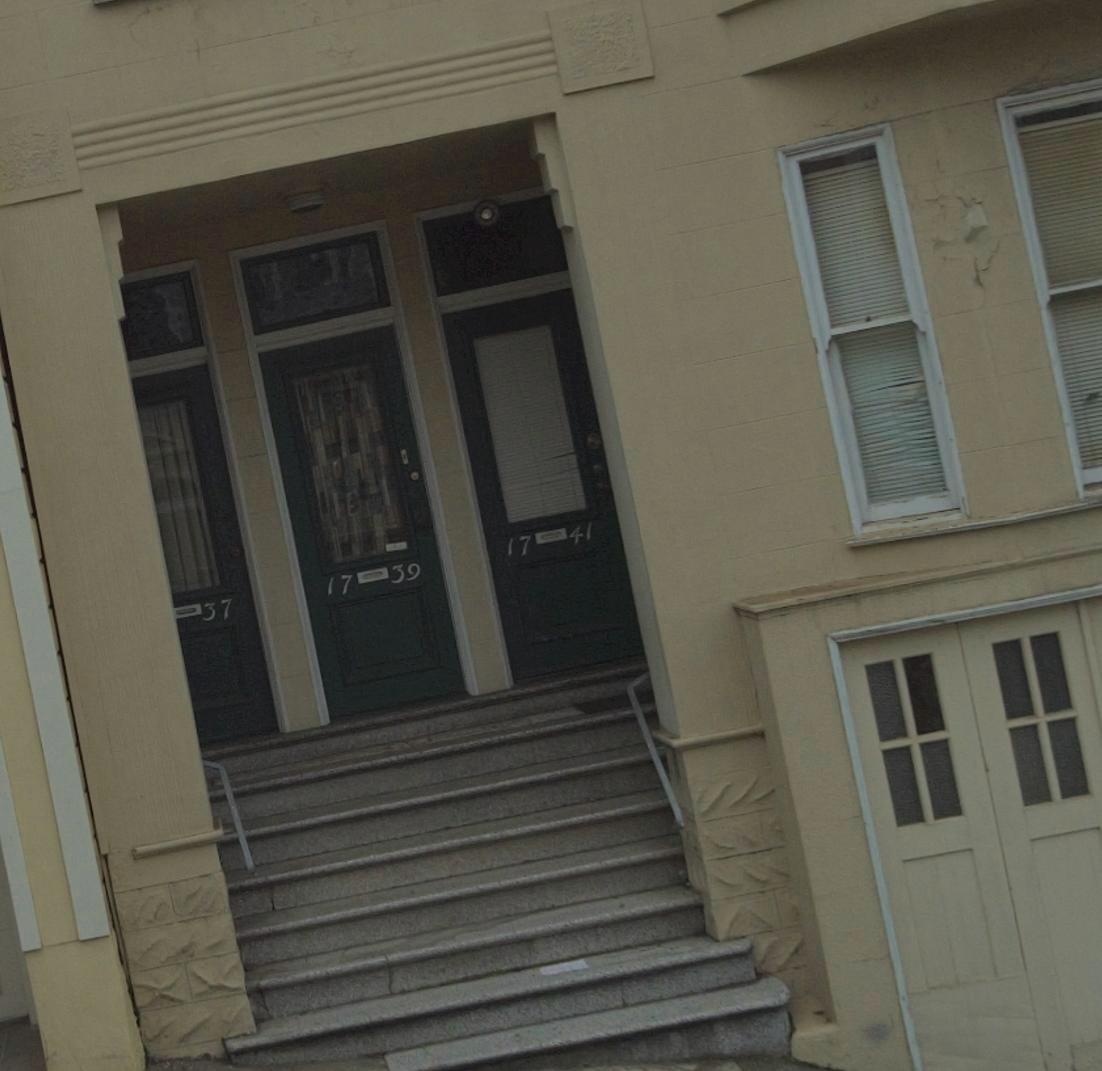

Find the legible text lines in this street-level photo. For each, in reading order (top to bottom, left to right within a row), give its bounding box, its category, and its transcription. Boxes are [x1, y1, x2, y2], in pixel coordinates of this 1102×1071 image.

[506, 519, 596, 562] StreetNumber: 17*41
[324, 558, 424, 598] StreetNumber: 17*39
[200, 595, 236, 624] StreetNumber: 37